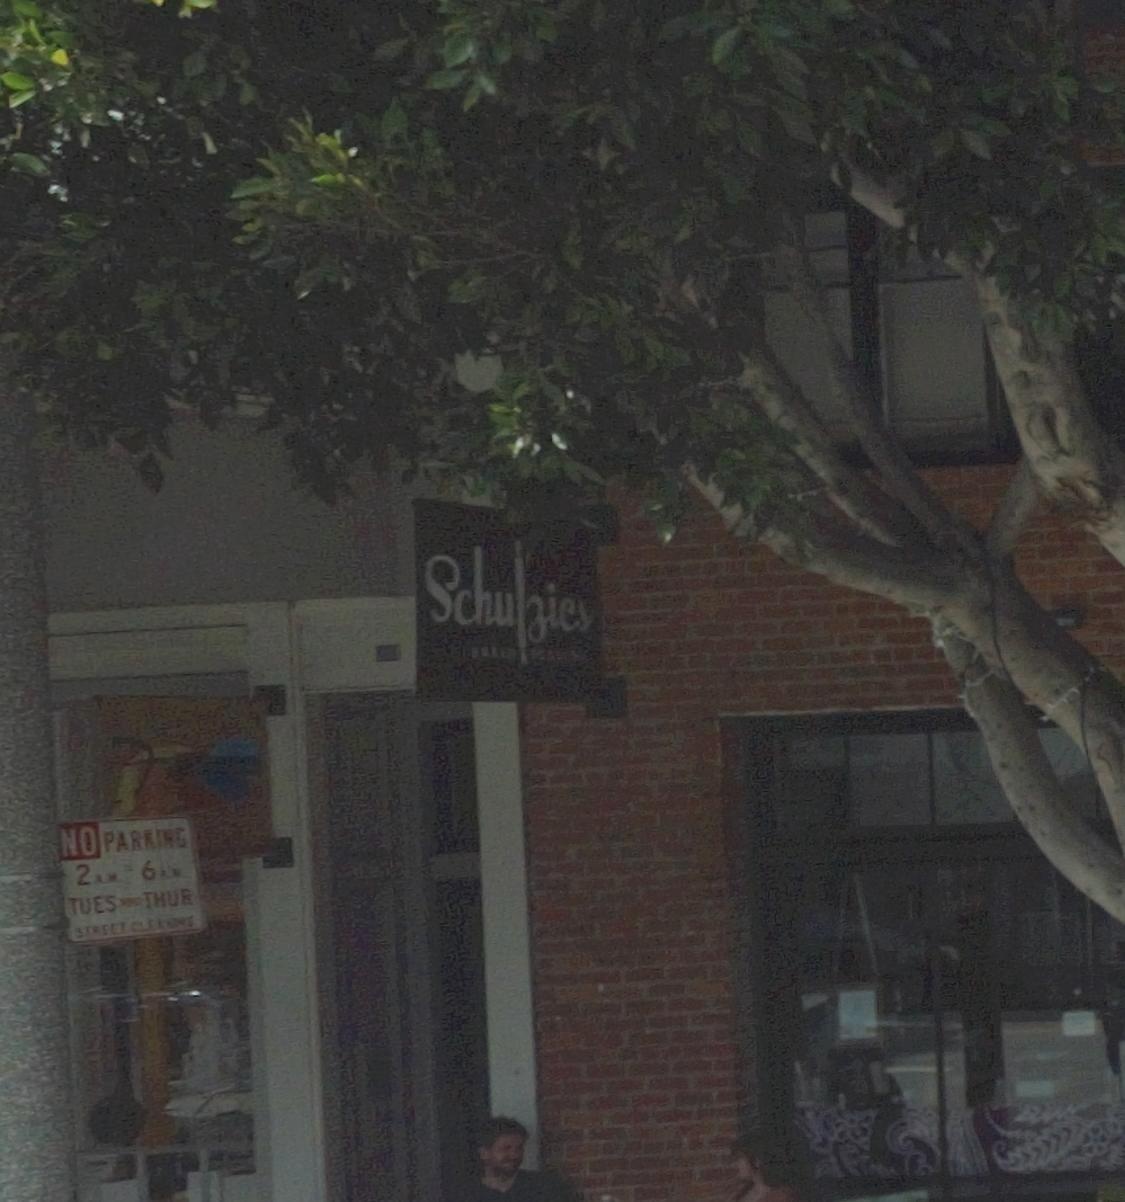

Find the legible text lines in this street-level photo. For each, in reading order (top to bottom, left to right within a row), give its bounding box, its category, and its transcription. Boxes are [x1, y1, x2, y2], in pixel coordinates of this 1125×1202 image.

[420, 543, 598, 652] BusinessName: Schulzie*
[56, 822, 191, 861] None: NO PARKING
[73, 861, 95, 889] None: 2
[138, 857, 160, 884] None: 6
[62, 891, 121, 918] None: TUES
[138, 885, 198, 911] None: THUR
[71, 918, 131, 943] None: ST*EE*